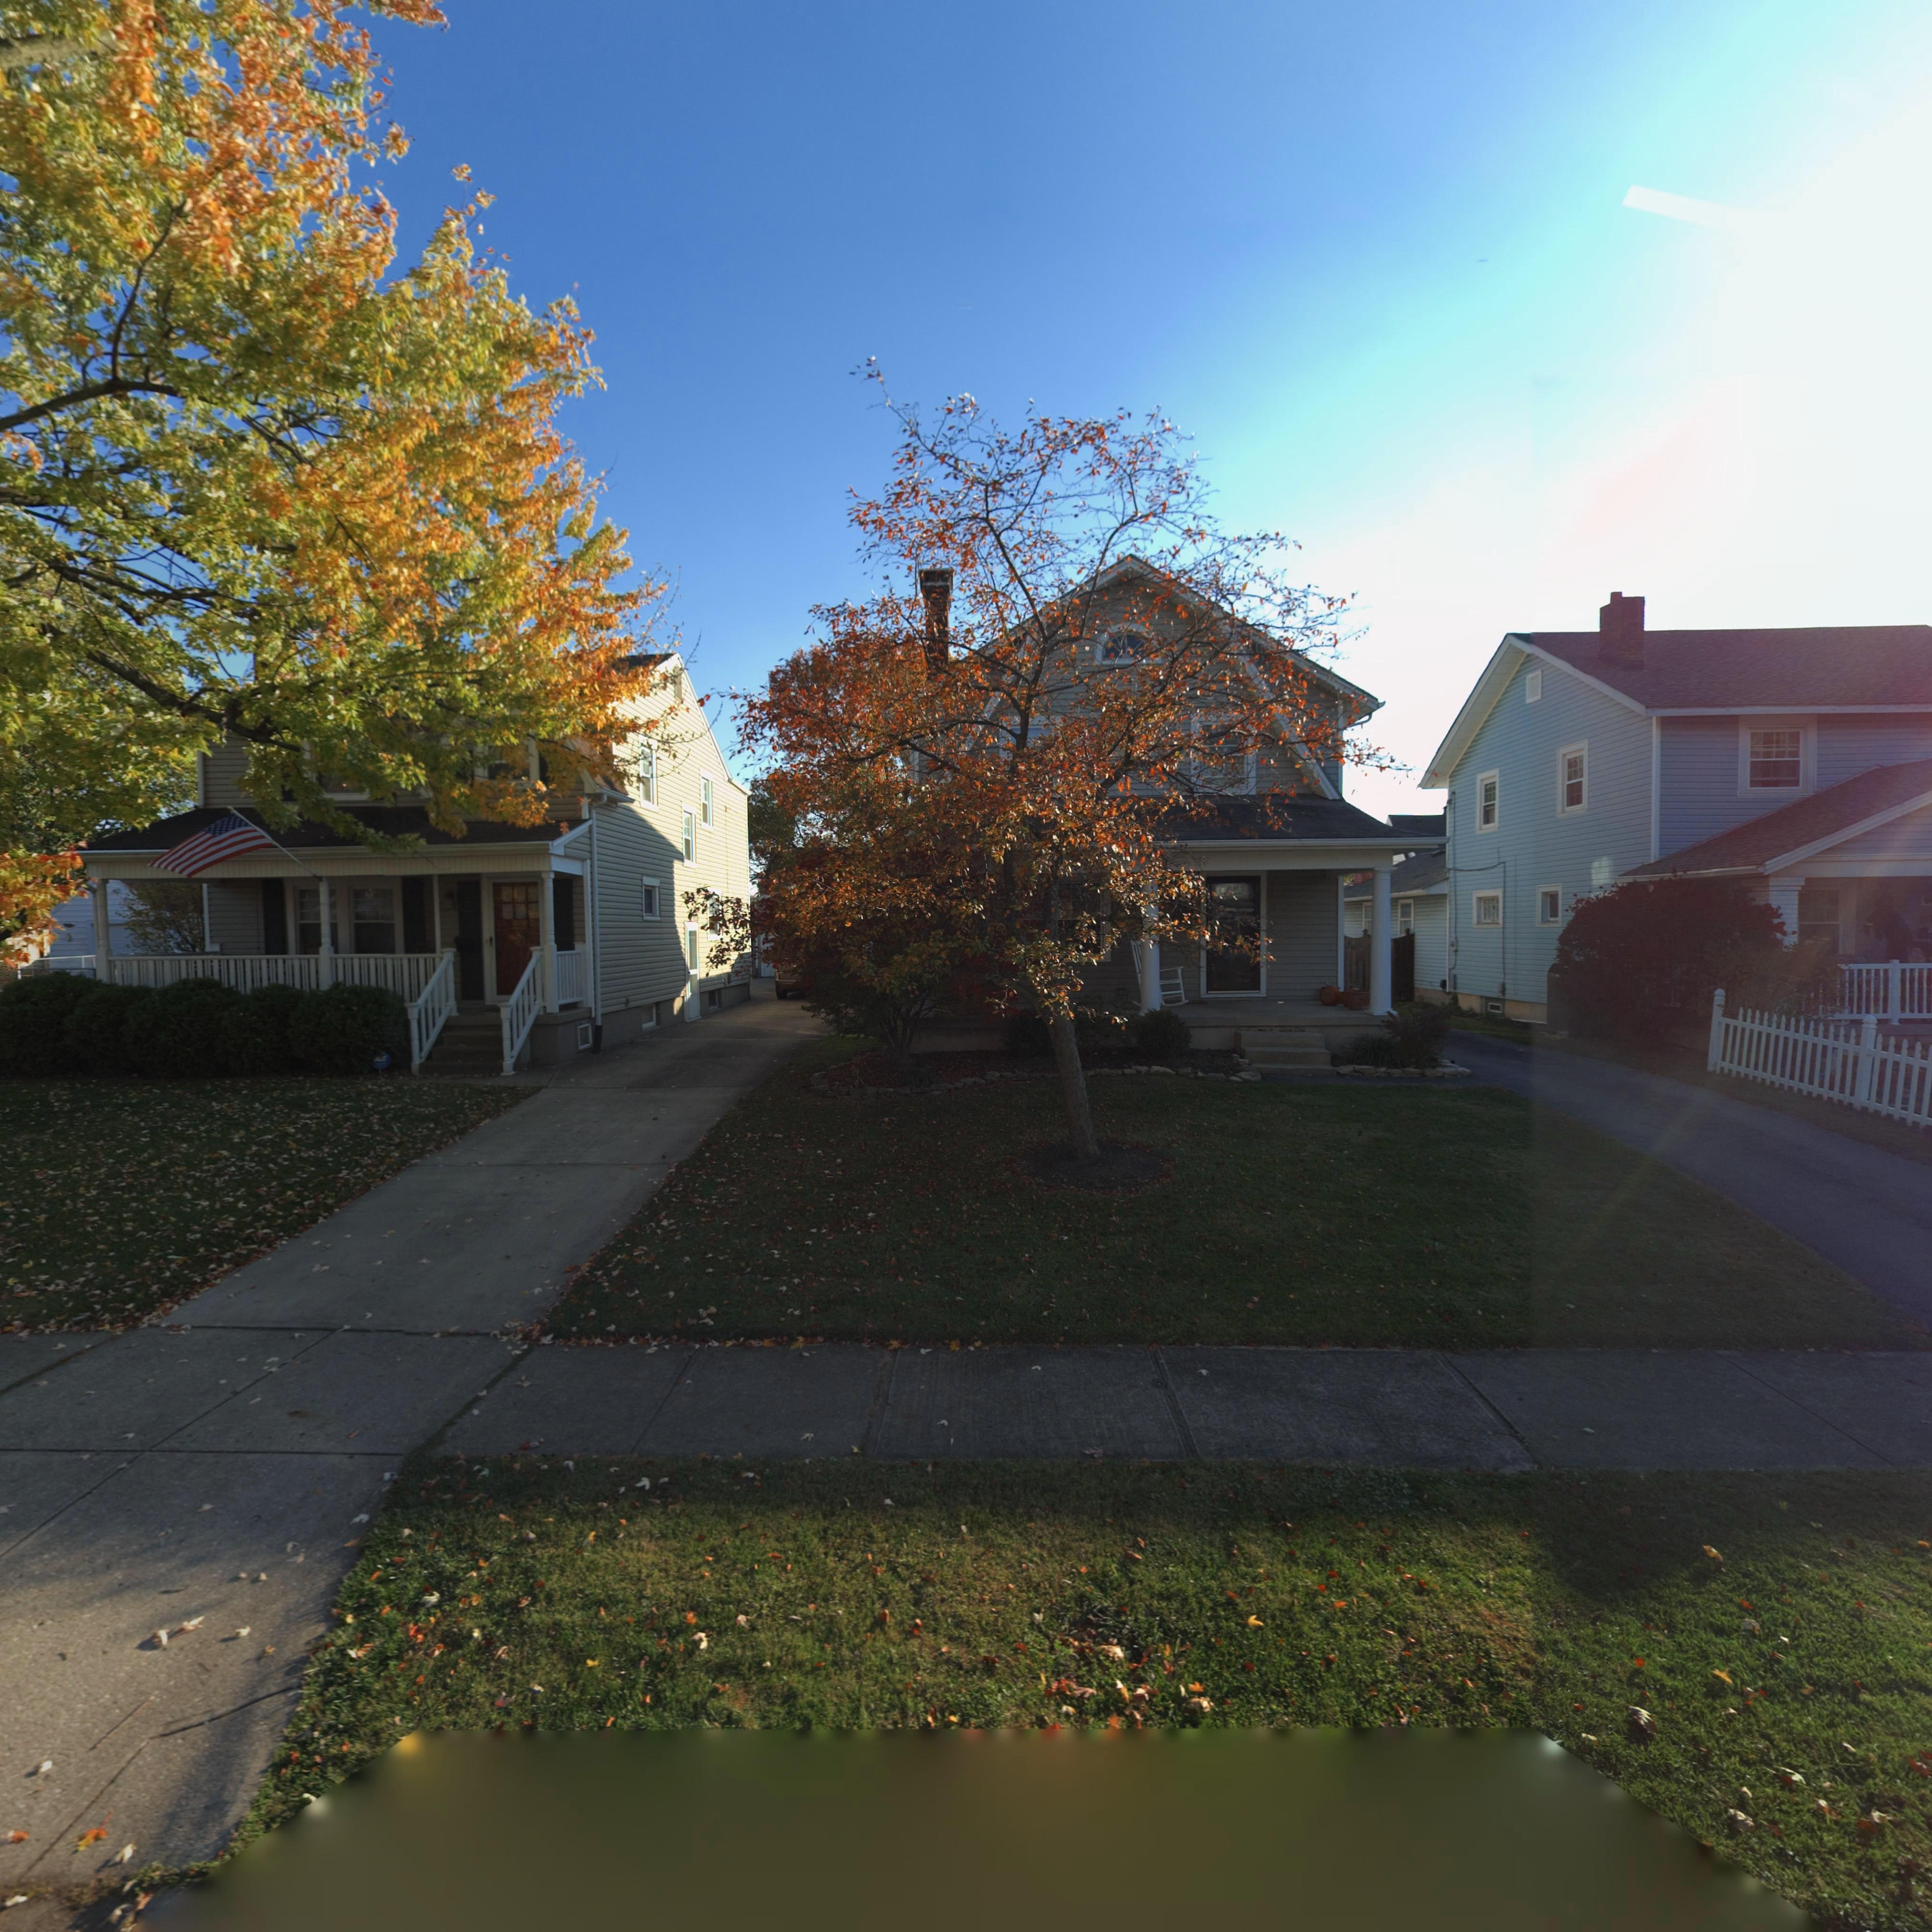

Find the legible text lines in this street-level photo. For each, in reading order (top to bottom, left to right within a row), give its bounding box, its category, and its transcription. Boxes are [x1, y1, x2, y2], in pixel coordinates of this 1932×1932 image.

[1920, 914, 1932, 923] StreetNumber: 11*